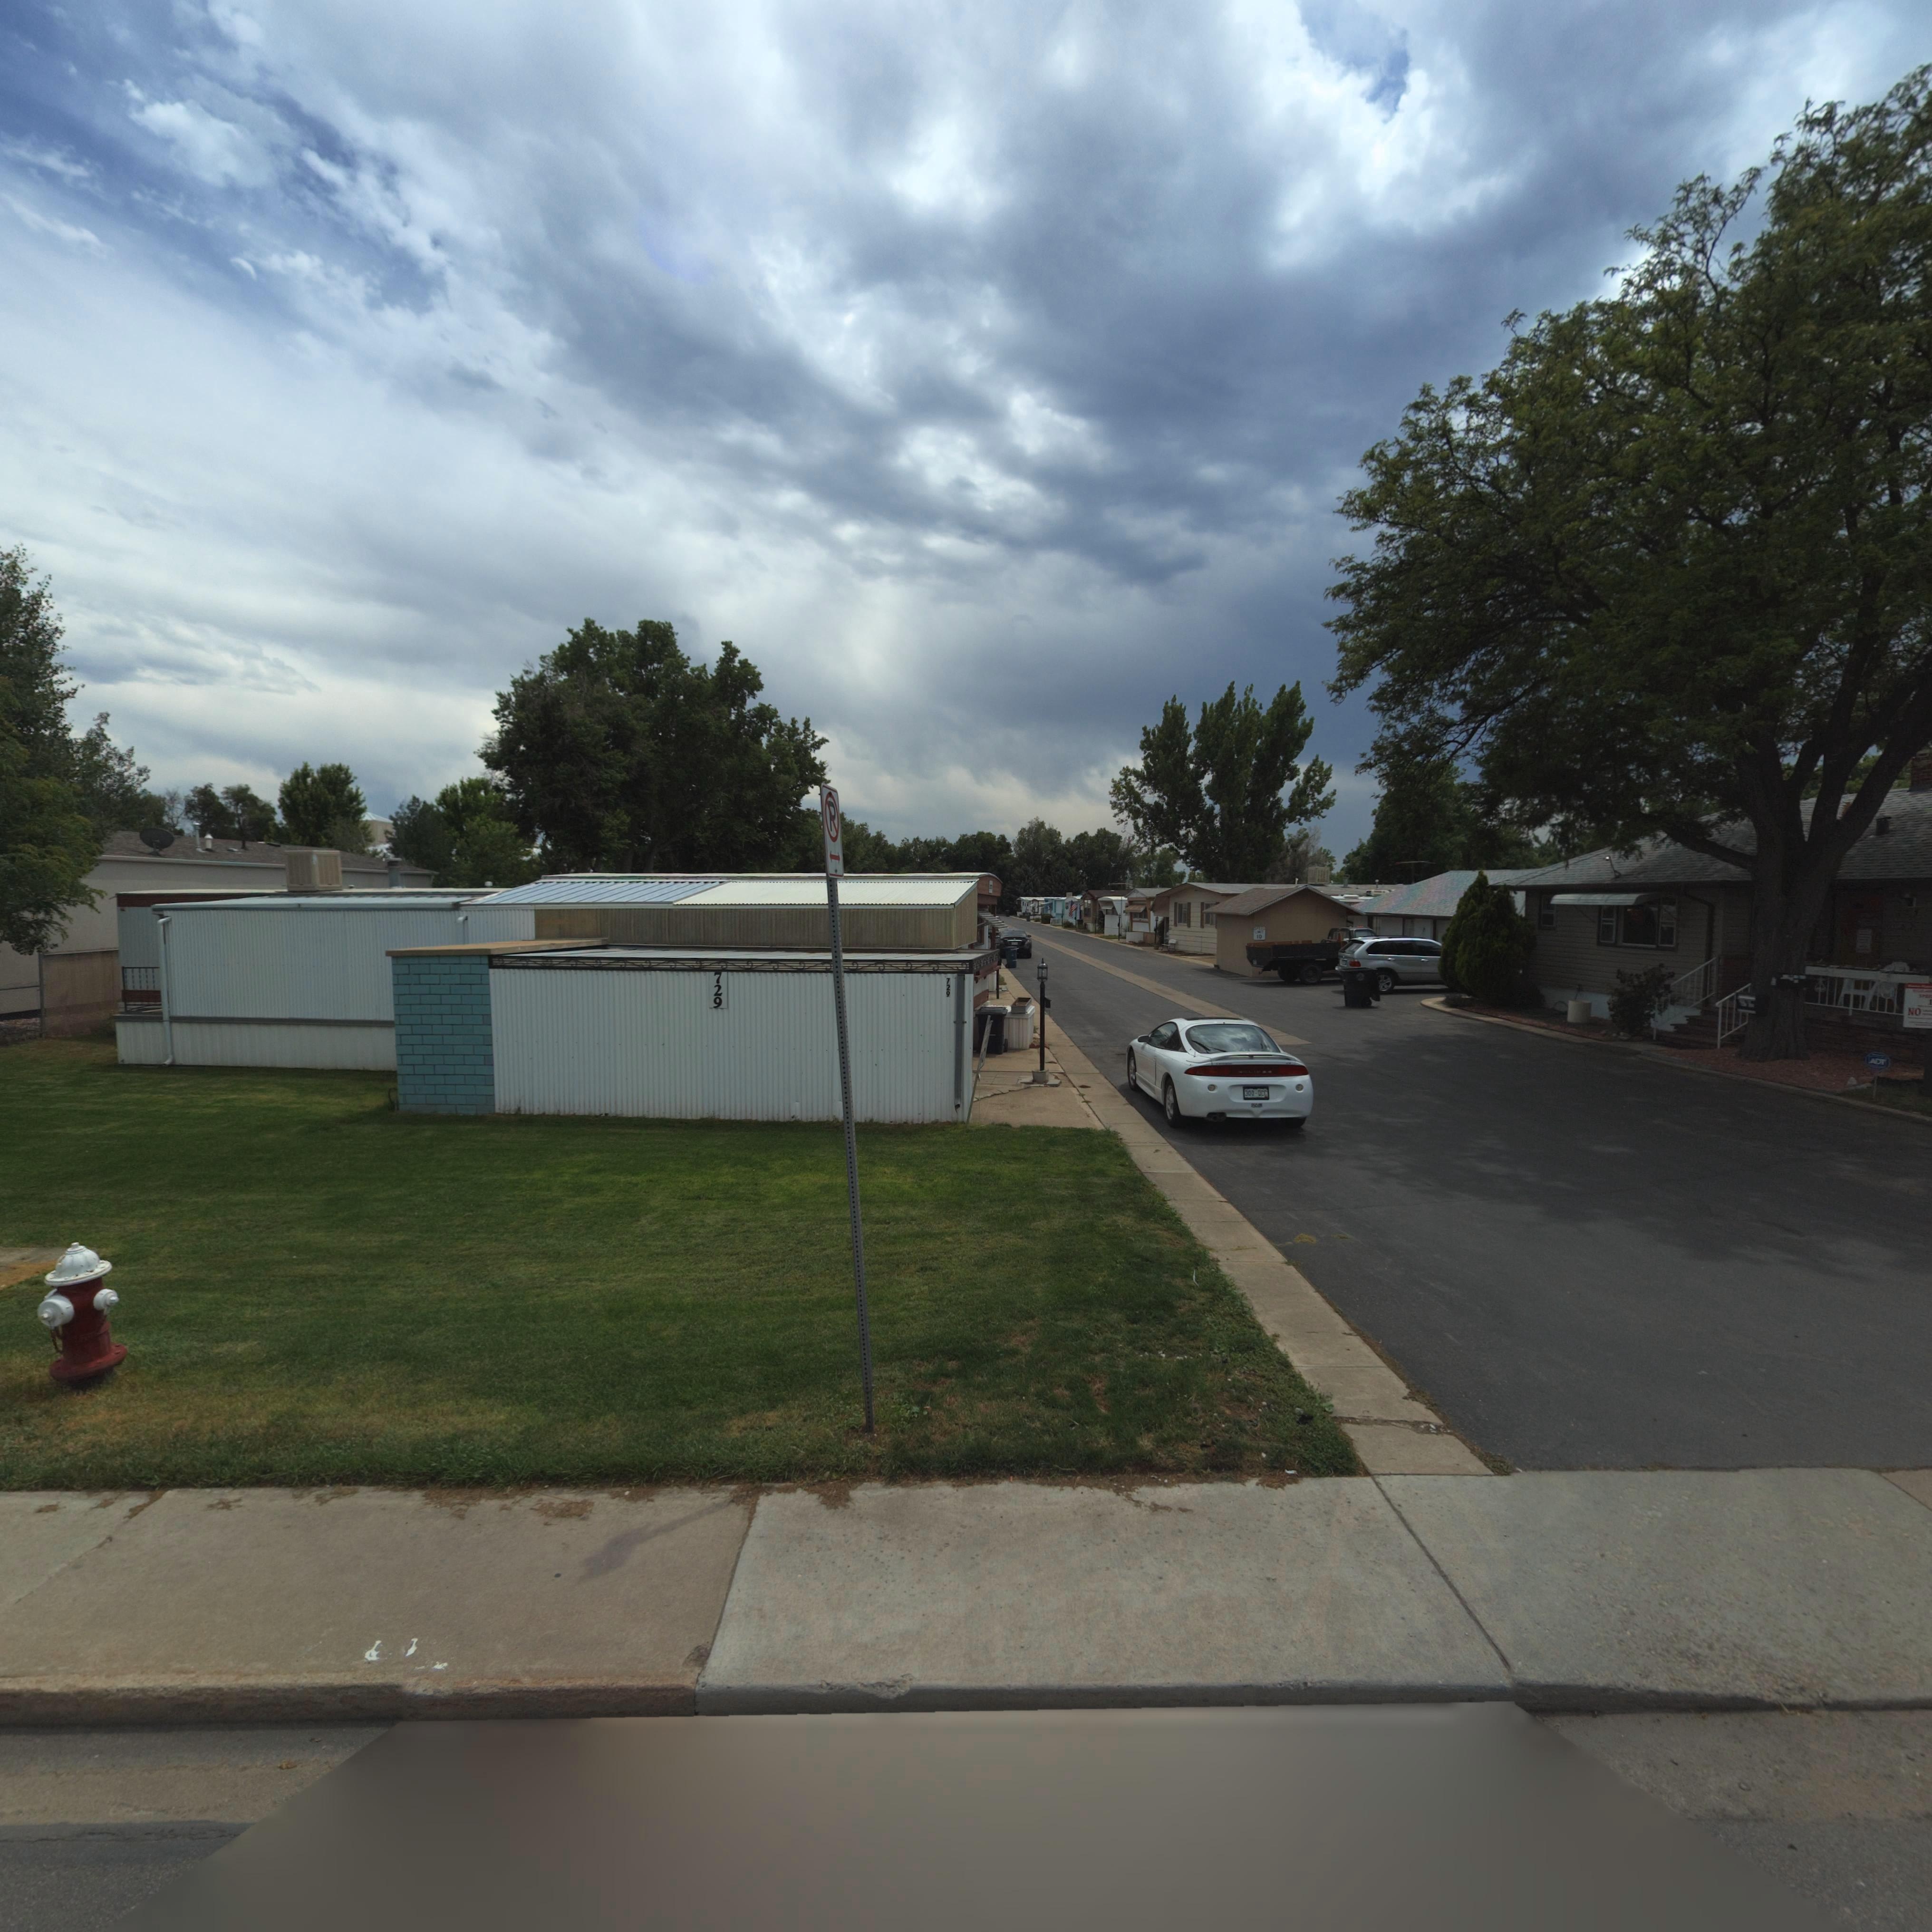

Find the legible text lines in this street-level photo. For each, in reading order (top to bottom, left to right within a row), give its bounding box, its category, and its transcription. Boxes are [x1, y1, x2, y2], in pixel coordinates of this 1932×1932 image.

[712, 970, 723, 1008] StreetNumber: 729
[946, 977, 950, 997] StreetNumber: 729